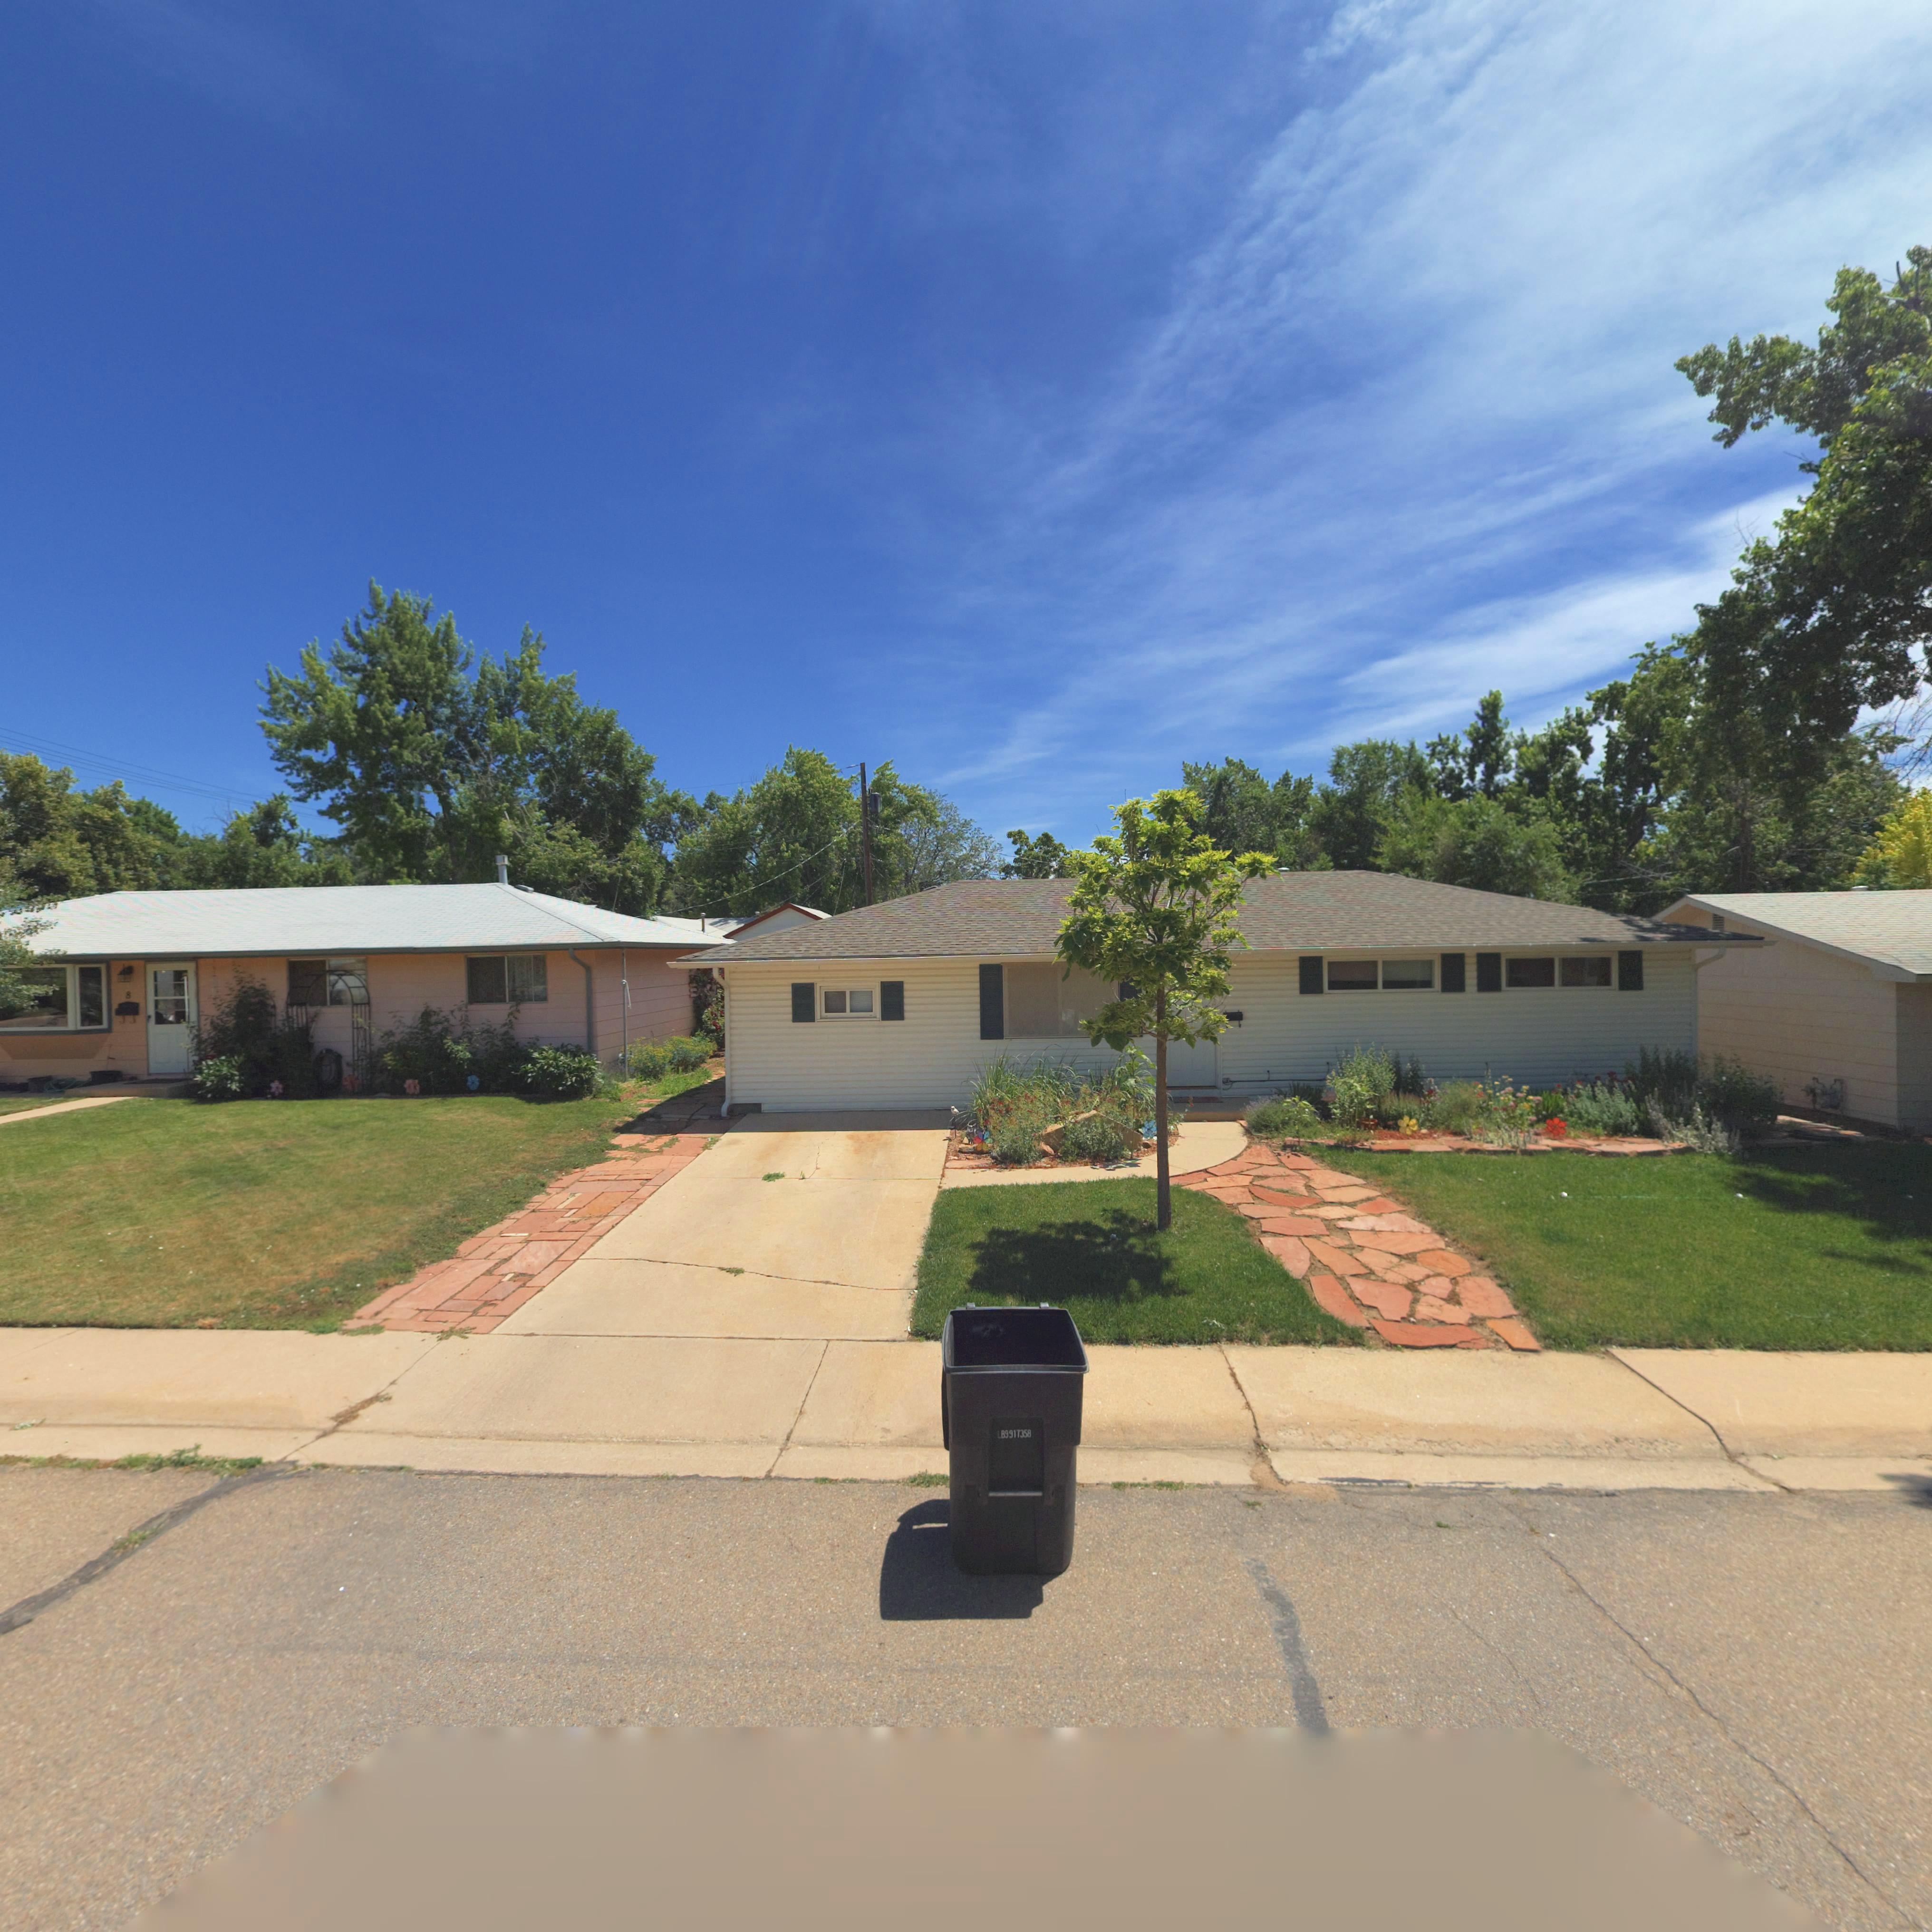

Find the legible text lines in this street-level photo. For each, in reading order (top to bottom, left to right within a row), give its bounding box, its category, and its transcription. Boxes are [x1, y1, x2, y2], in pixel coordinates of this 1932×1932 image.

[125, 990, 131, 999] StreetNumber: 8